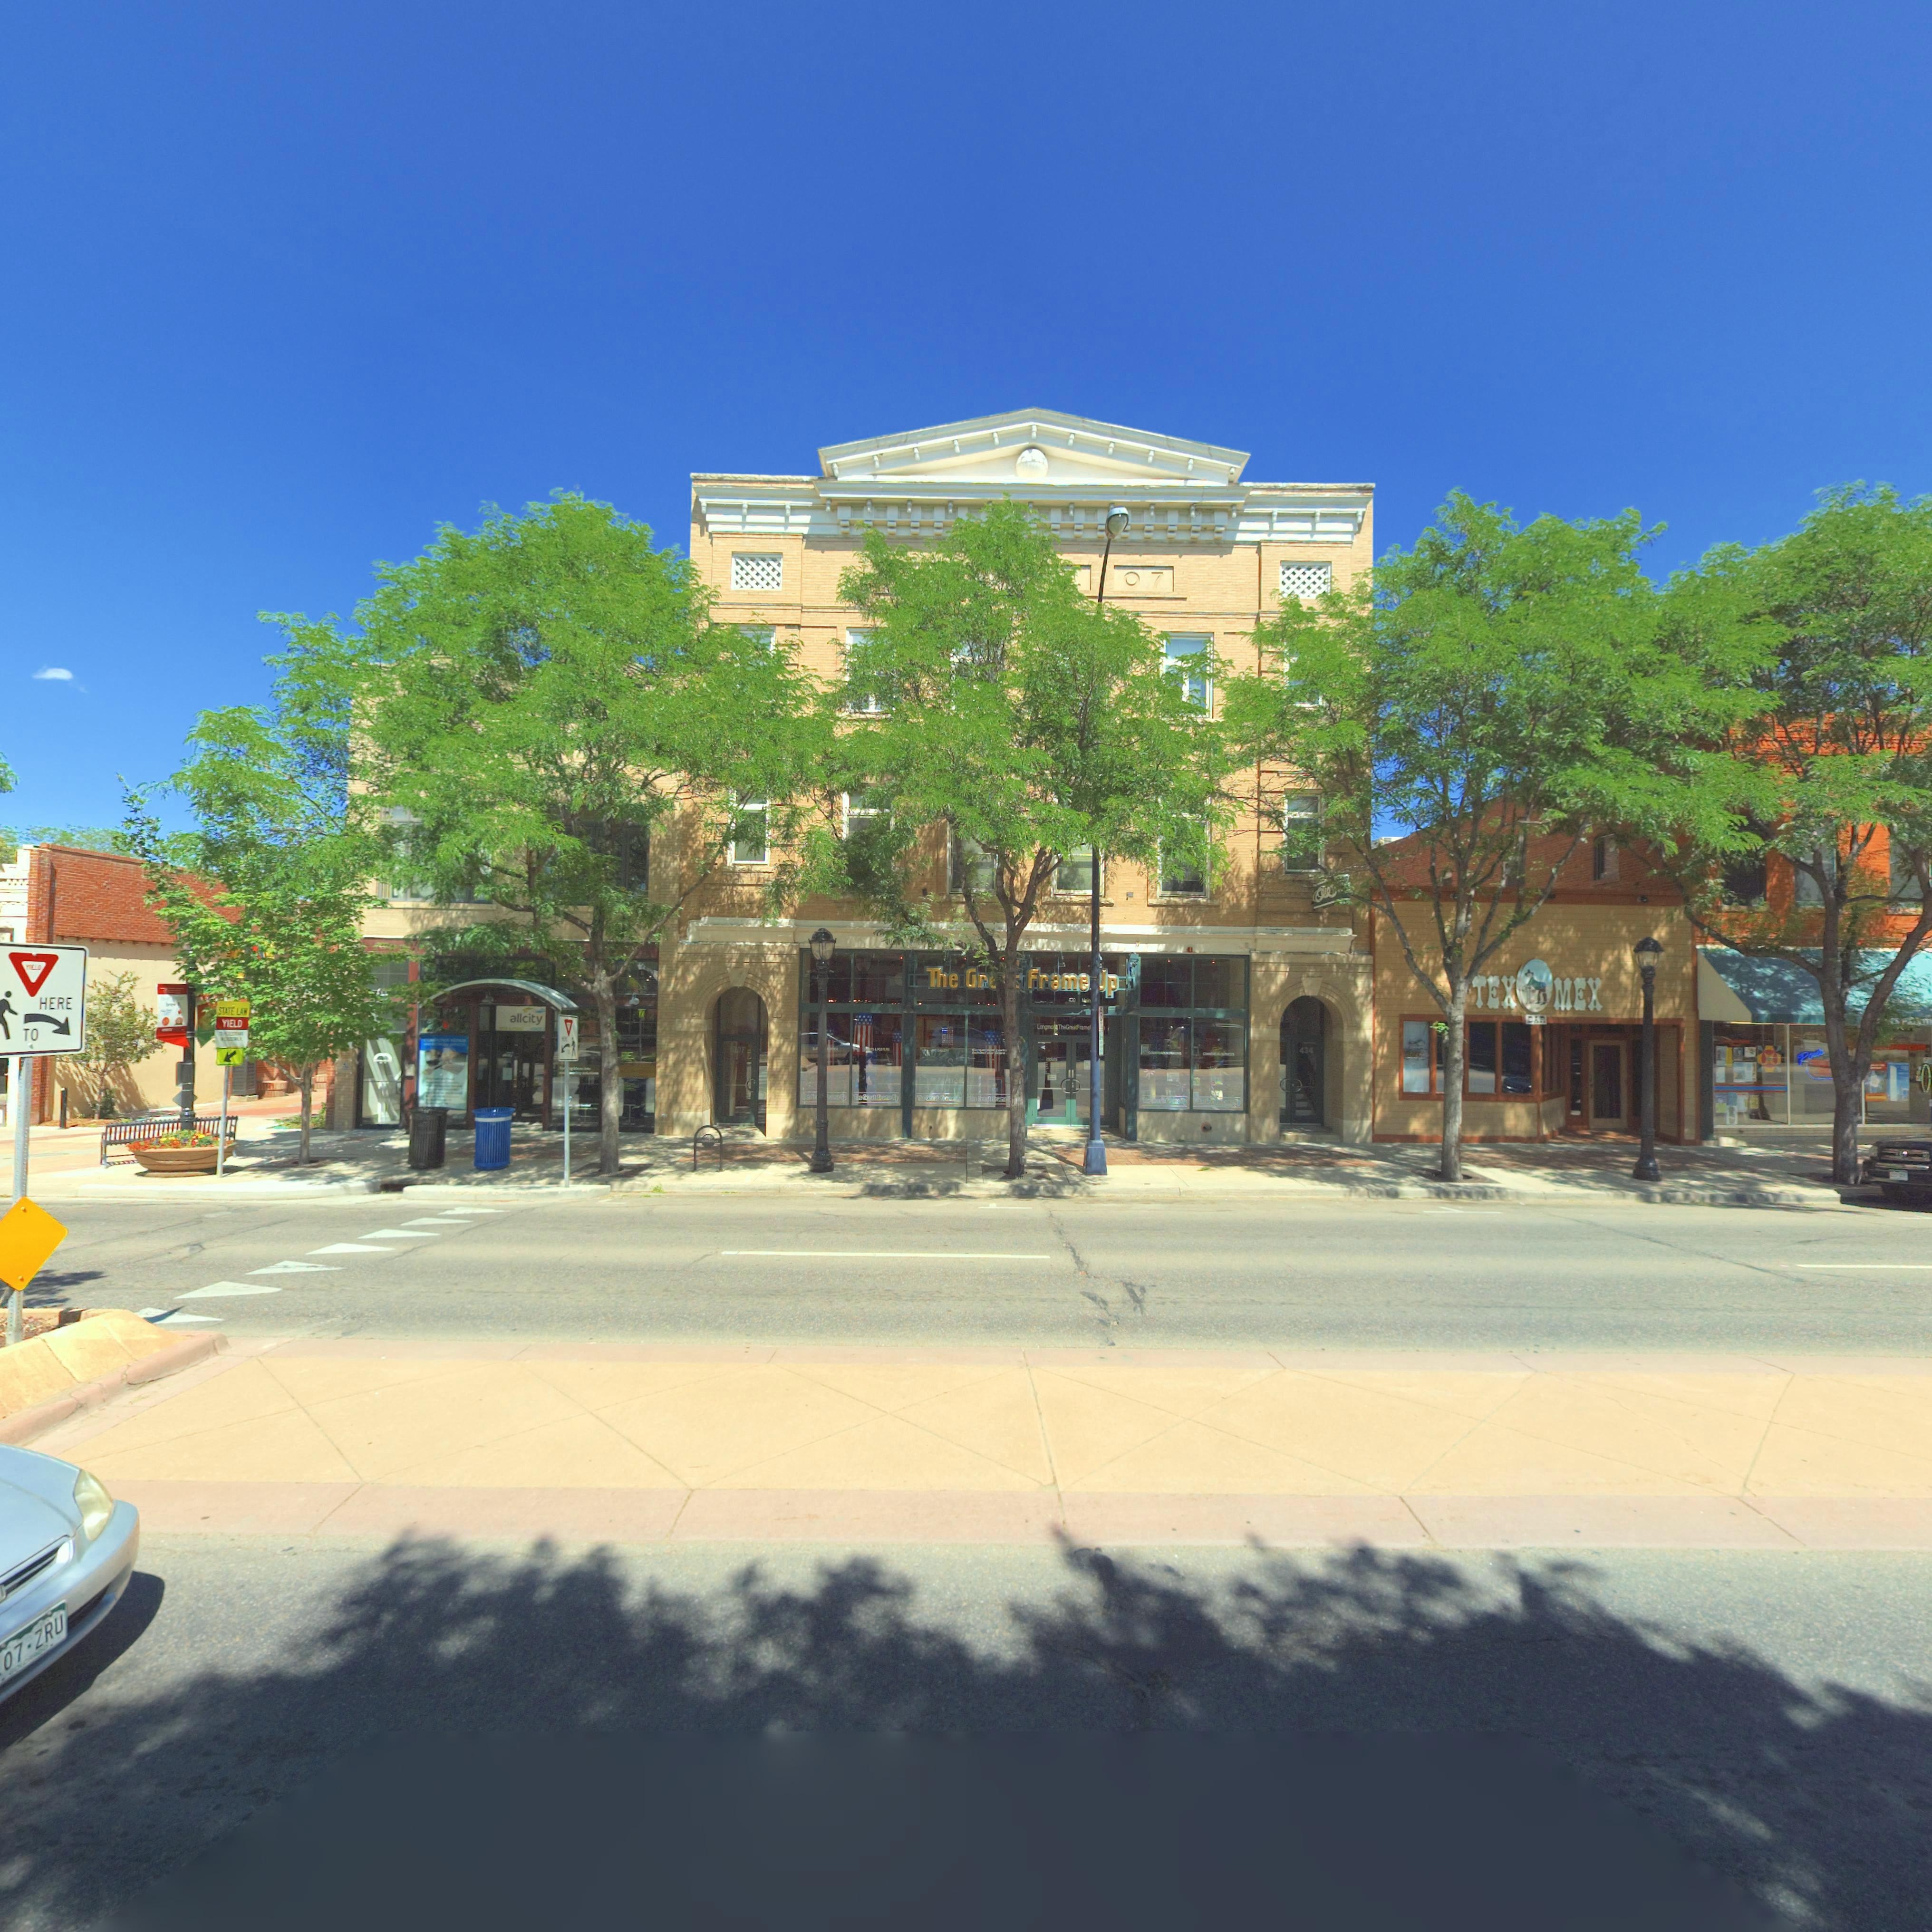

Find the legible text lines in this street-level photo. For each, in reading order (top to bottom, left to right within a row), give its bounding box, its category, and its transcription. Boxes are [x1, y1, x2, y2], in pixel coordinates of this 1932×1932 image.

[924, 967, 1118, 997] BusinessName: The Gr*** Frame *p
[1471, 973, 1603, 1011] BusinessName: TEX * MEX
[1068, 997, 1076, 1003] StreetNumber: 430
[1082, 997, 1091, 1003] StreetName: Main
[510, 1013, 543, 1025] BusinessName: allcity
[1036, 1023, 1090, 1031] BusinessName: Longm** TheGreatFrame
[1298, 1046, 1313, 1054] StreetNumber: 434